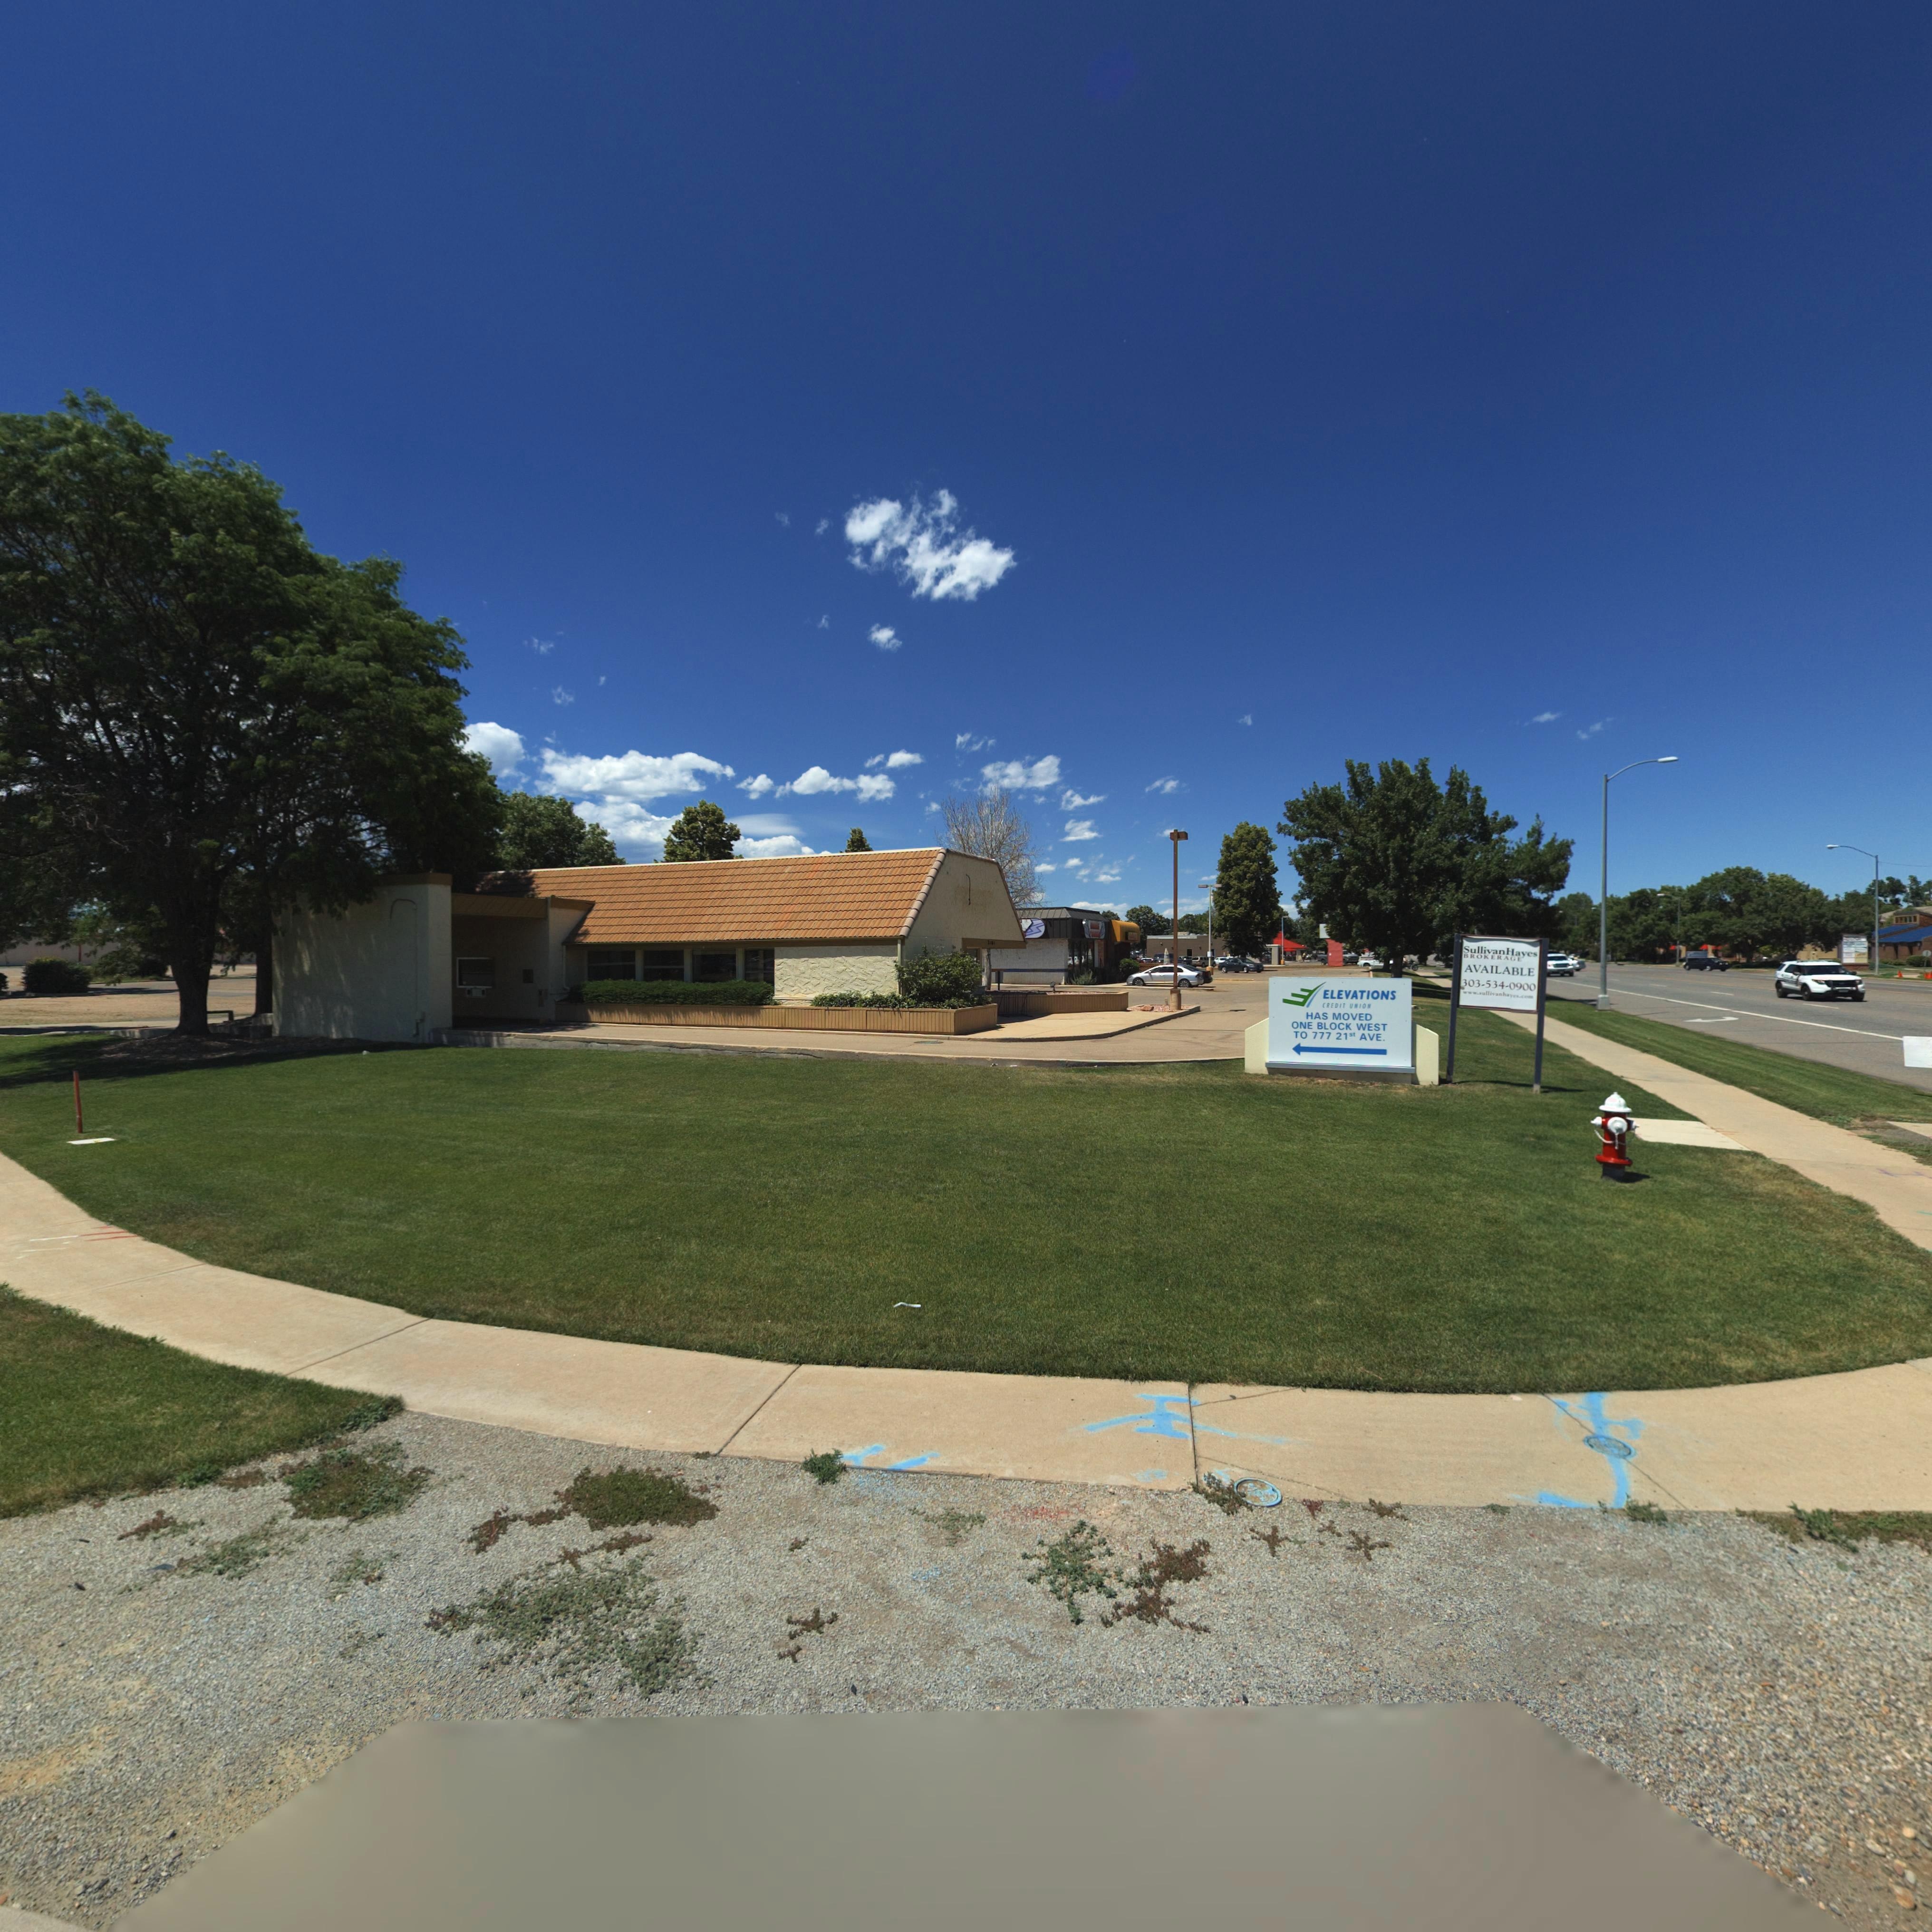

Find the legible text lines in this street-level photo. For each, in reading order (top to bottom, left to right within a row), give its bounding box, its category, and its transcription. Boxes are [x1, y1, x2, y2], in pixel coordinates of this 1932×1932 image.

[987, 939, 995, 945] StreetNumber: 2101